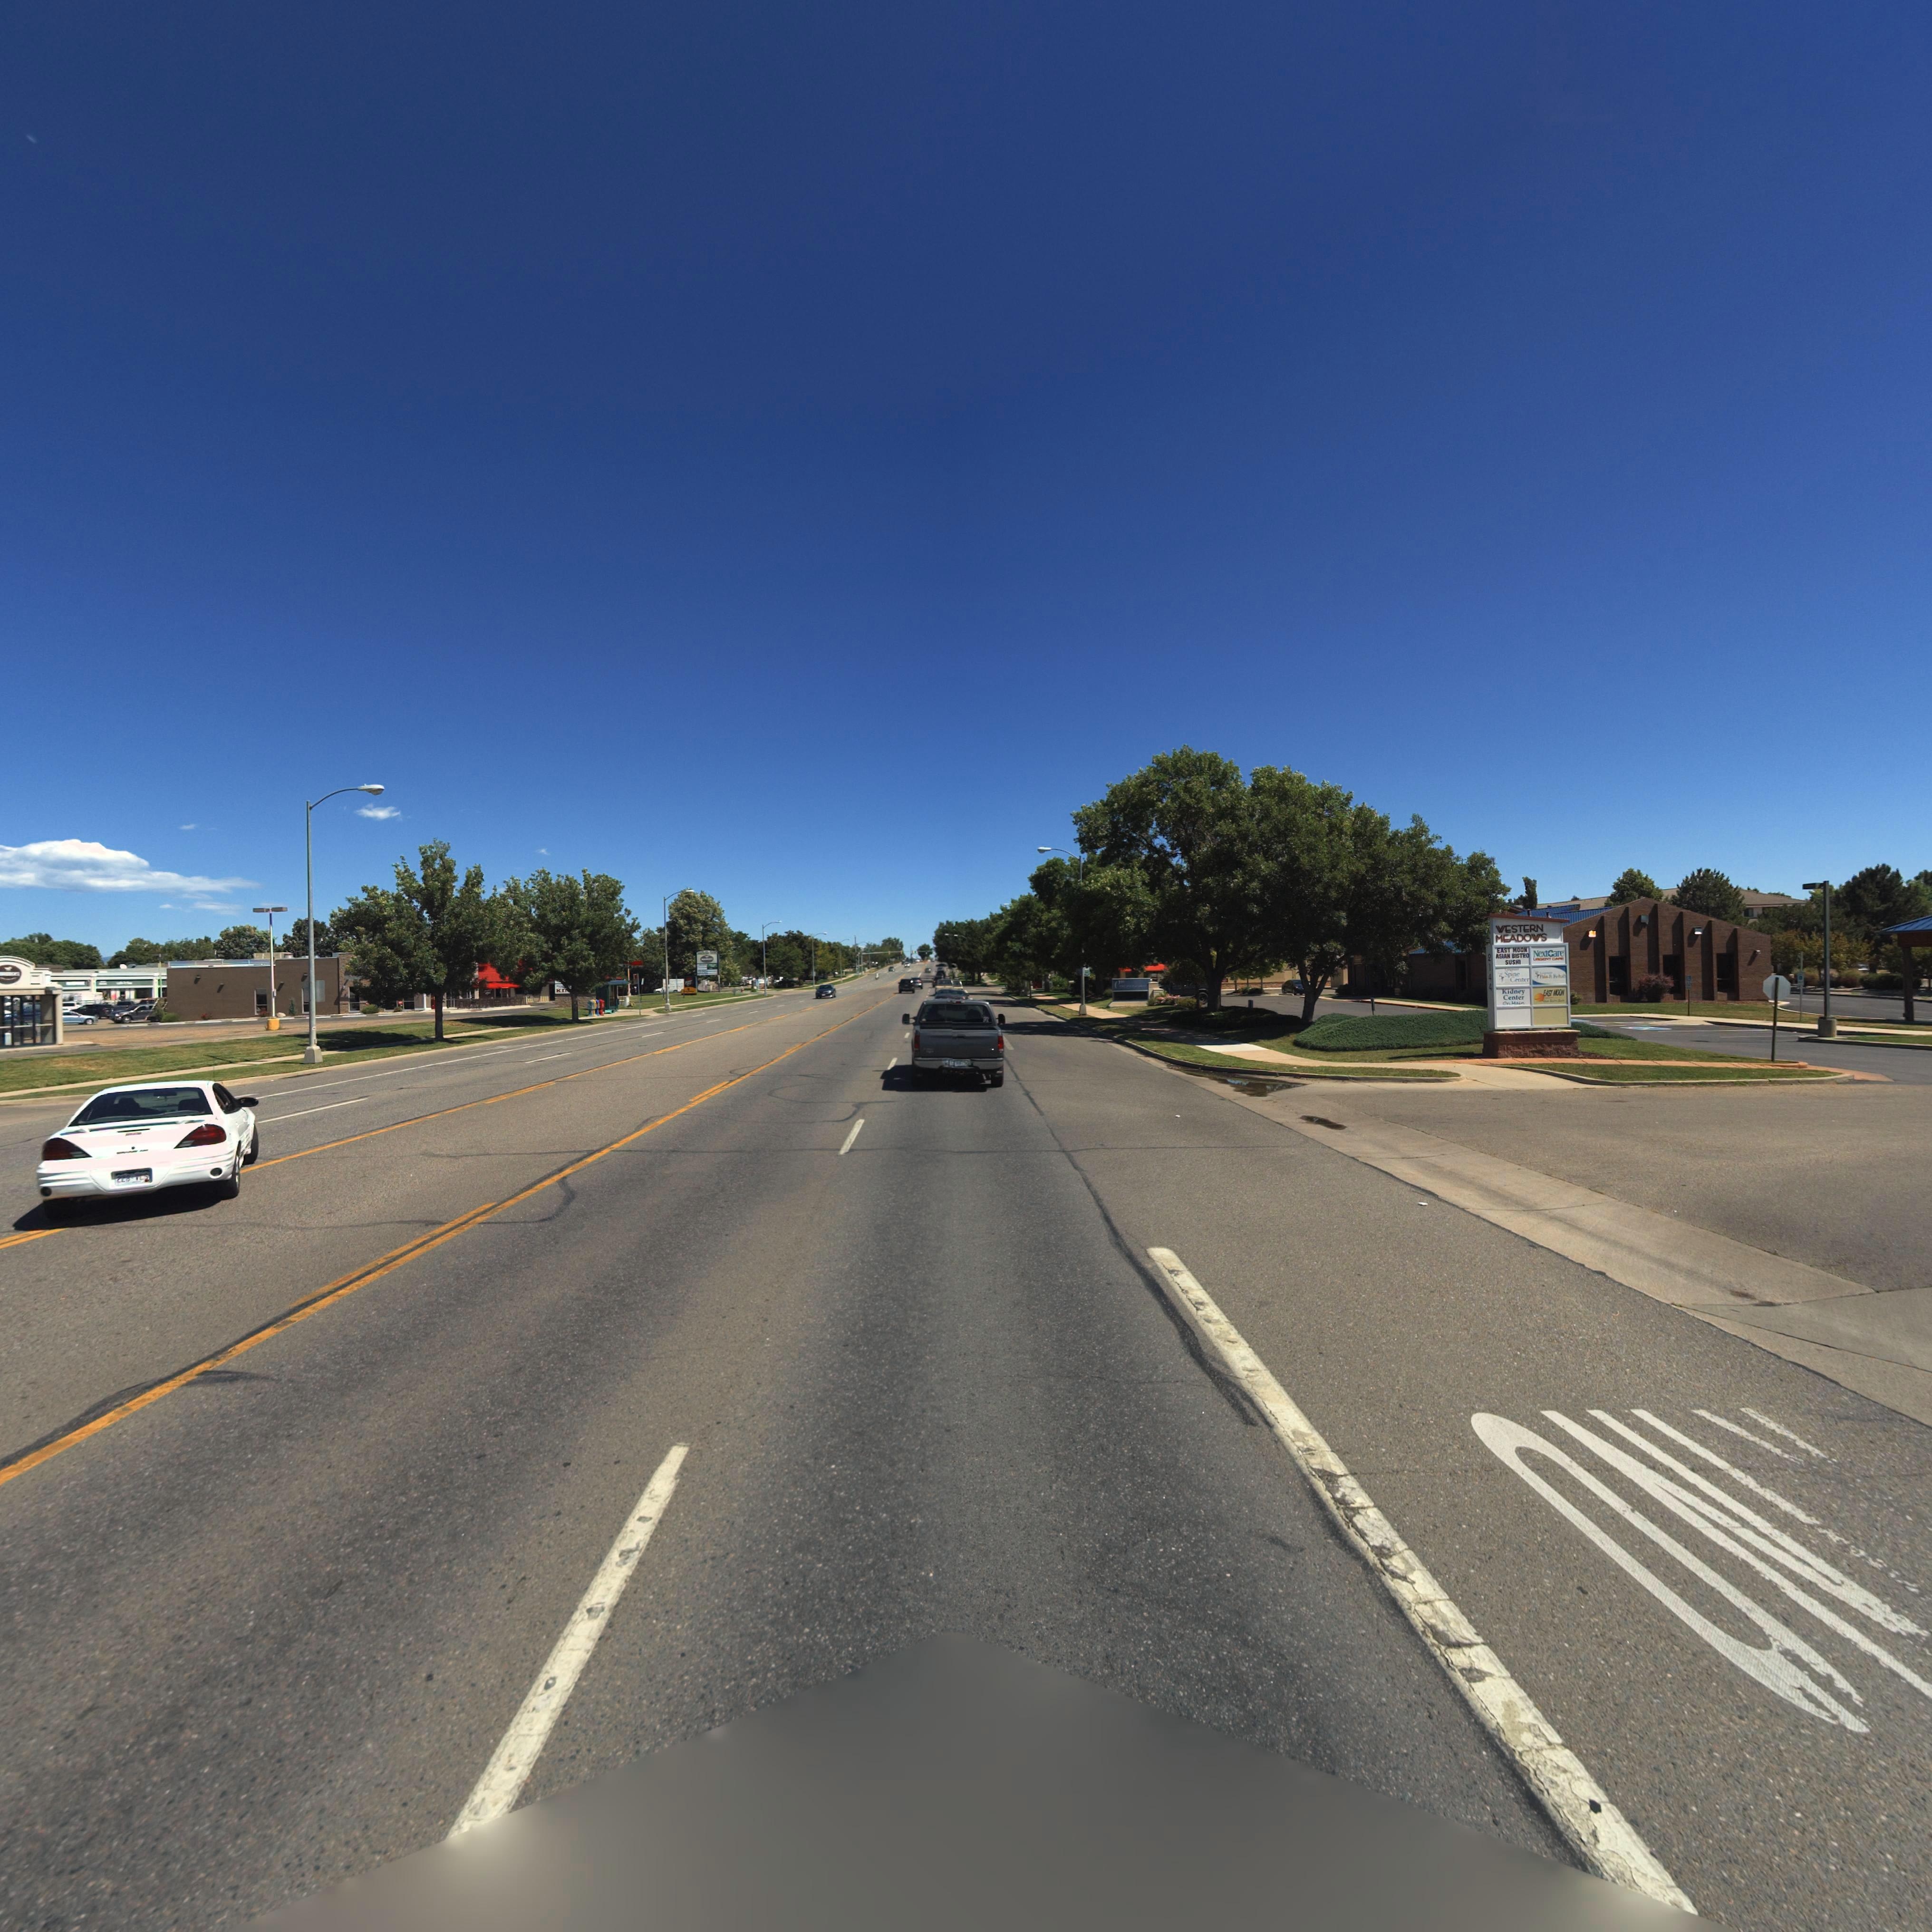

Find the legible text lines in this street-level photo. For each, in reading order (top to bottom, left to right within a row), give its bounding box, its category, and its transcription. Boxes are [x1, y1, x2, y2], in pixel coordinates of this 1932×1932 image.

[1497, 947, 1527, 953] BusinessName: EAST MOON
[1495, 953, 1530, 959] BusinessName: ASIAN BISTRO
[1533, 956, 1564, 961] BusinessName: URGE*T CA**
[1533, 949, 1565, 957] BusinessName: NextCare
[1488, 953, 1492, 992] StreetNumber: 2144
[1504, 970, 1520, 978] BusinessName: Spine
[1539, 973, 1566, 979] BusinessName: Pain * R*h*b
[1509, 976, 1529, 983] BusinessName: Center
[1502, 988, 1526, 995] BusinessName: Kidney
[1542, 989, 1565, 996] BusinessName: EAST MOON
[1502, 994, 1525, 1000] BusinessName: Center
[1502, 1000, 1524, 1005] BusinessName: On Main